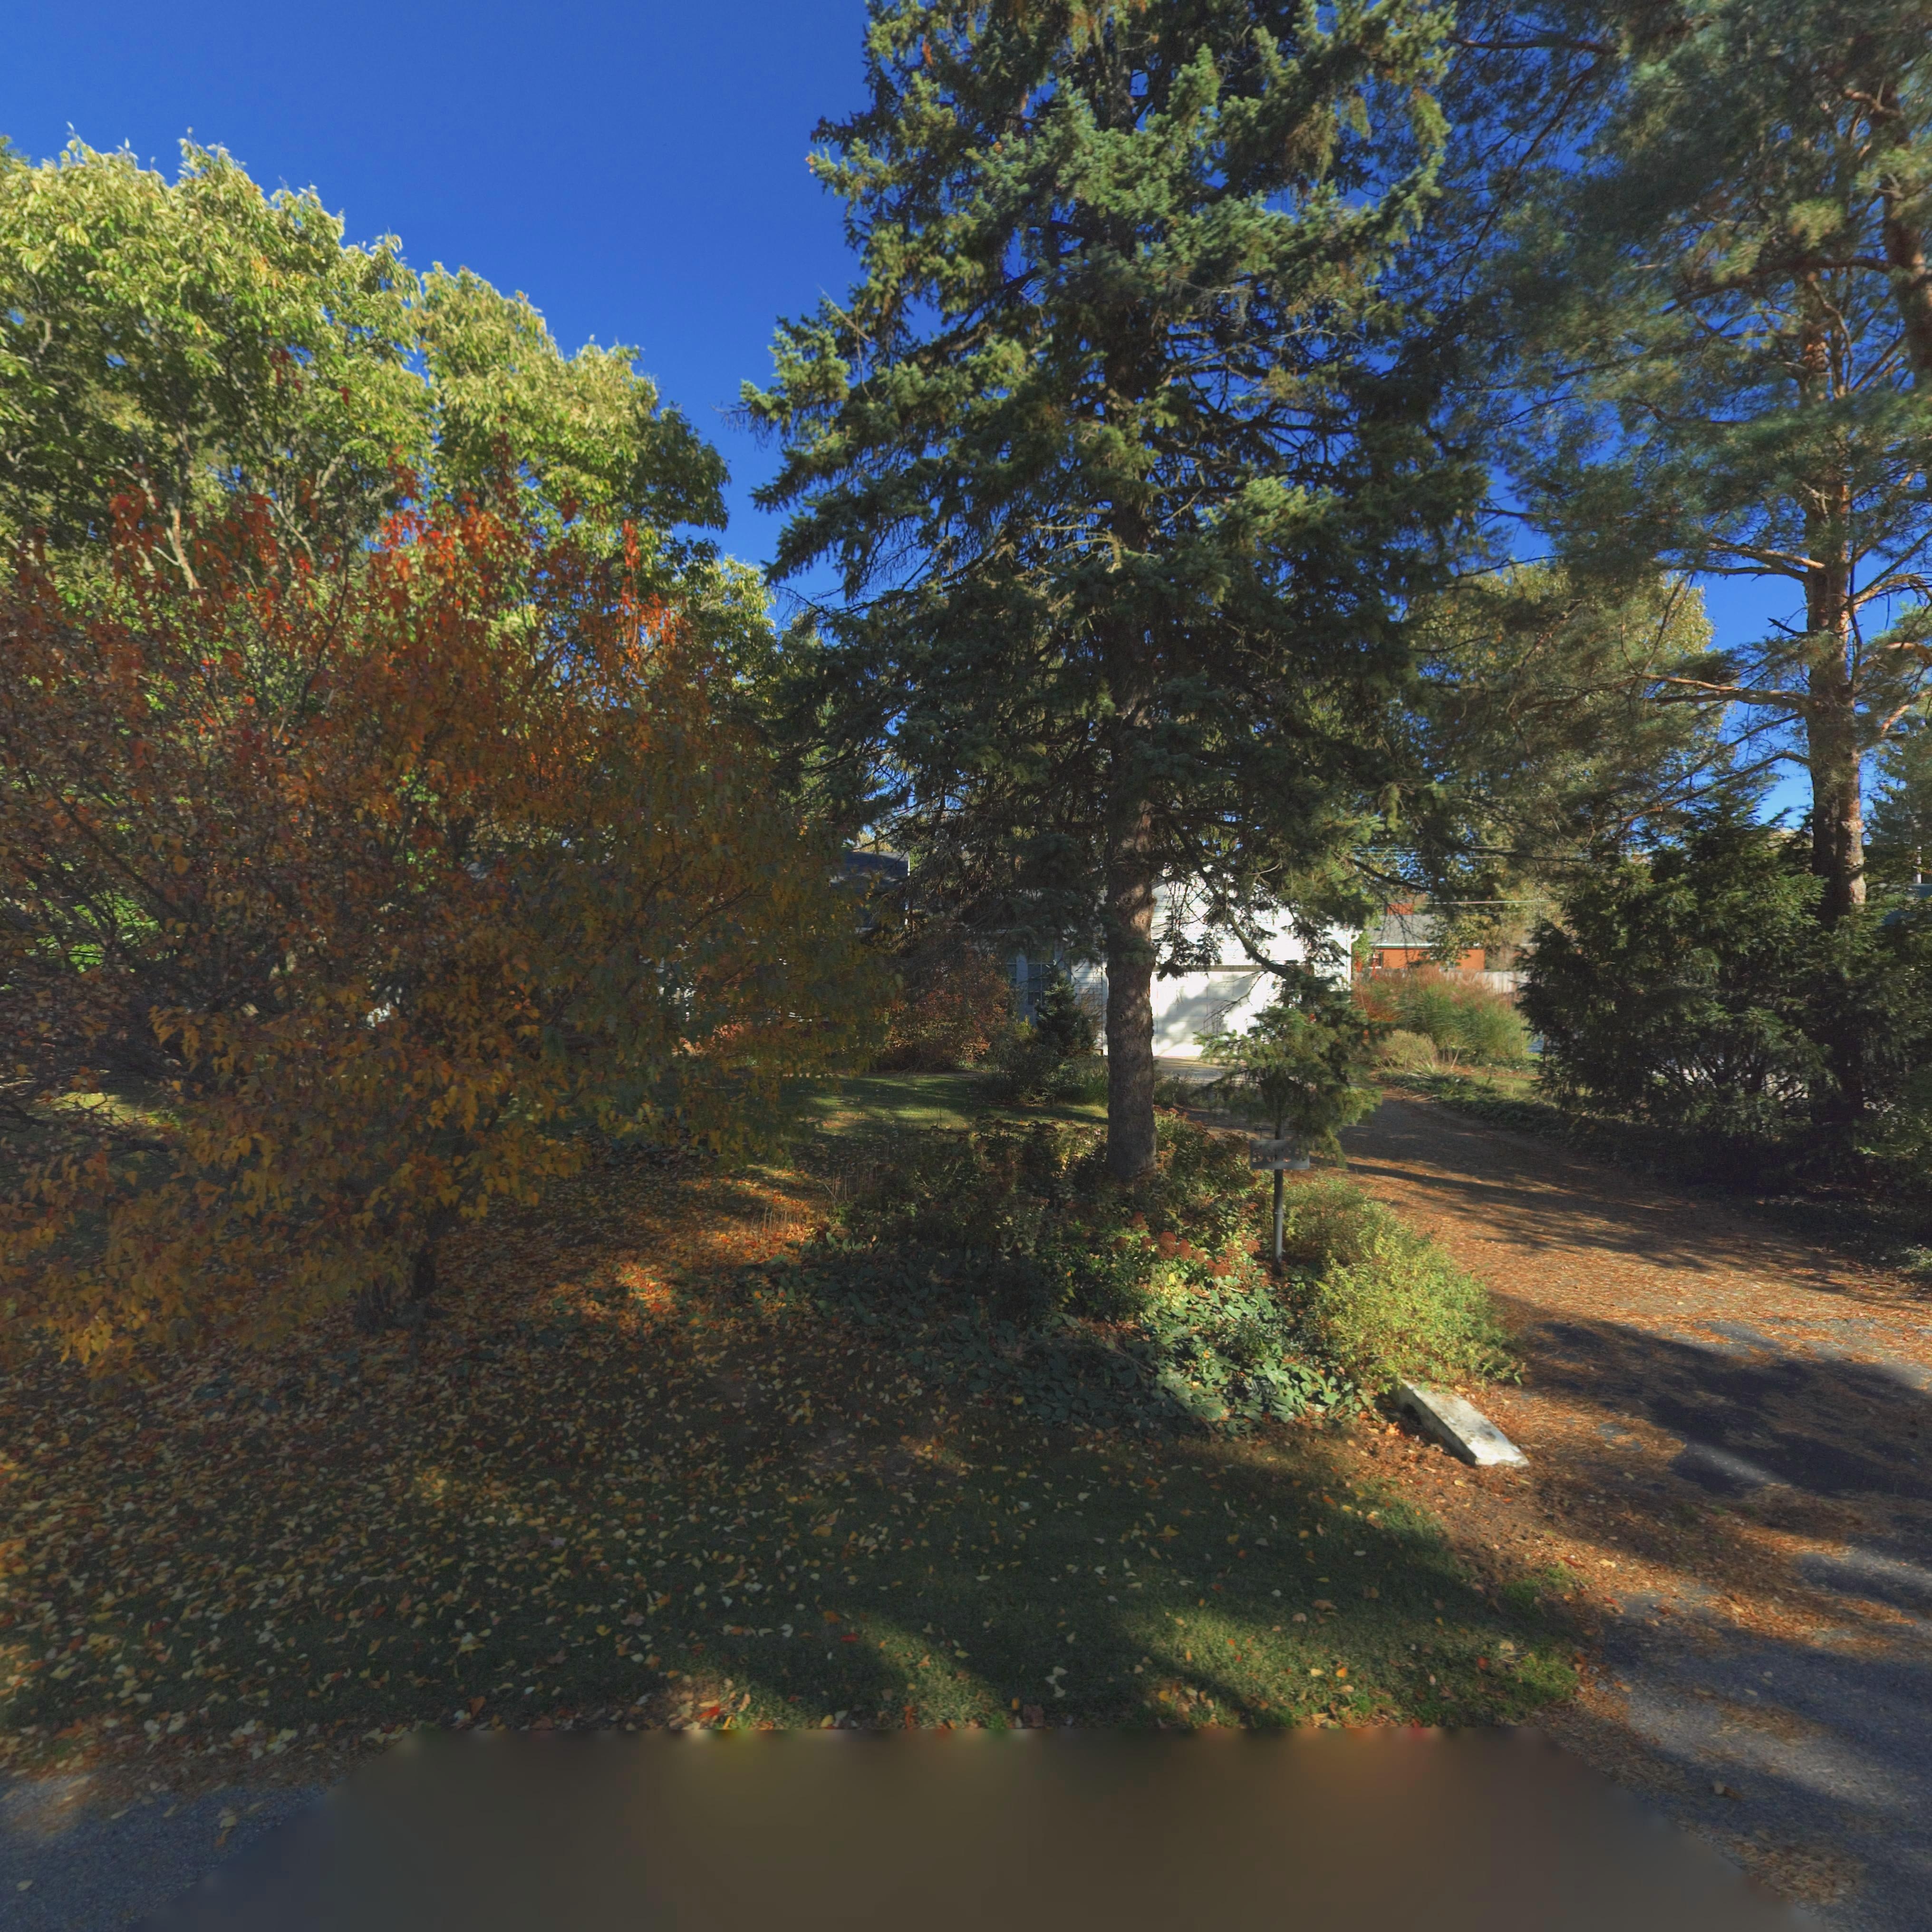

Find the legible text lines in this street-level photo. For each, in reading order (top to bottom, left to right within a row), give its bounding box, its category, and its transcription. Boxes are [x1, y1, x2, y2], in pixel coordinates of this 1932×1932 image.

[1251, 1144, 1308, 1164] StreetNumber: 5626